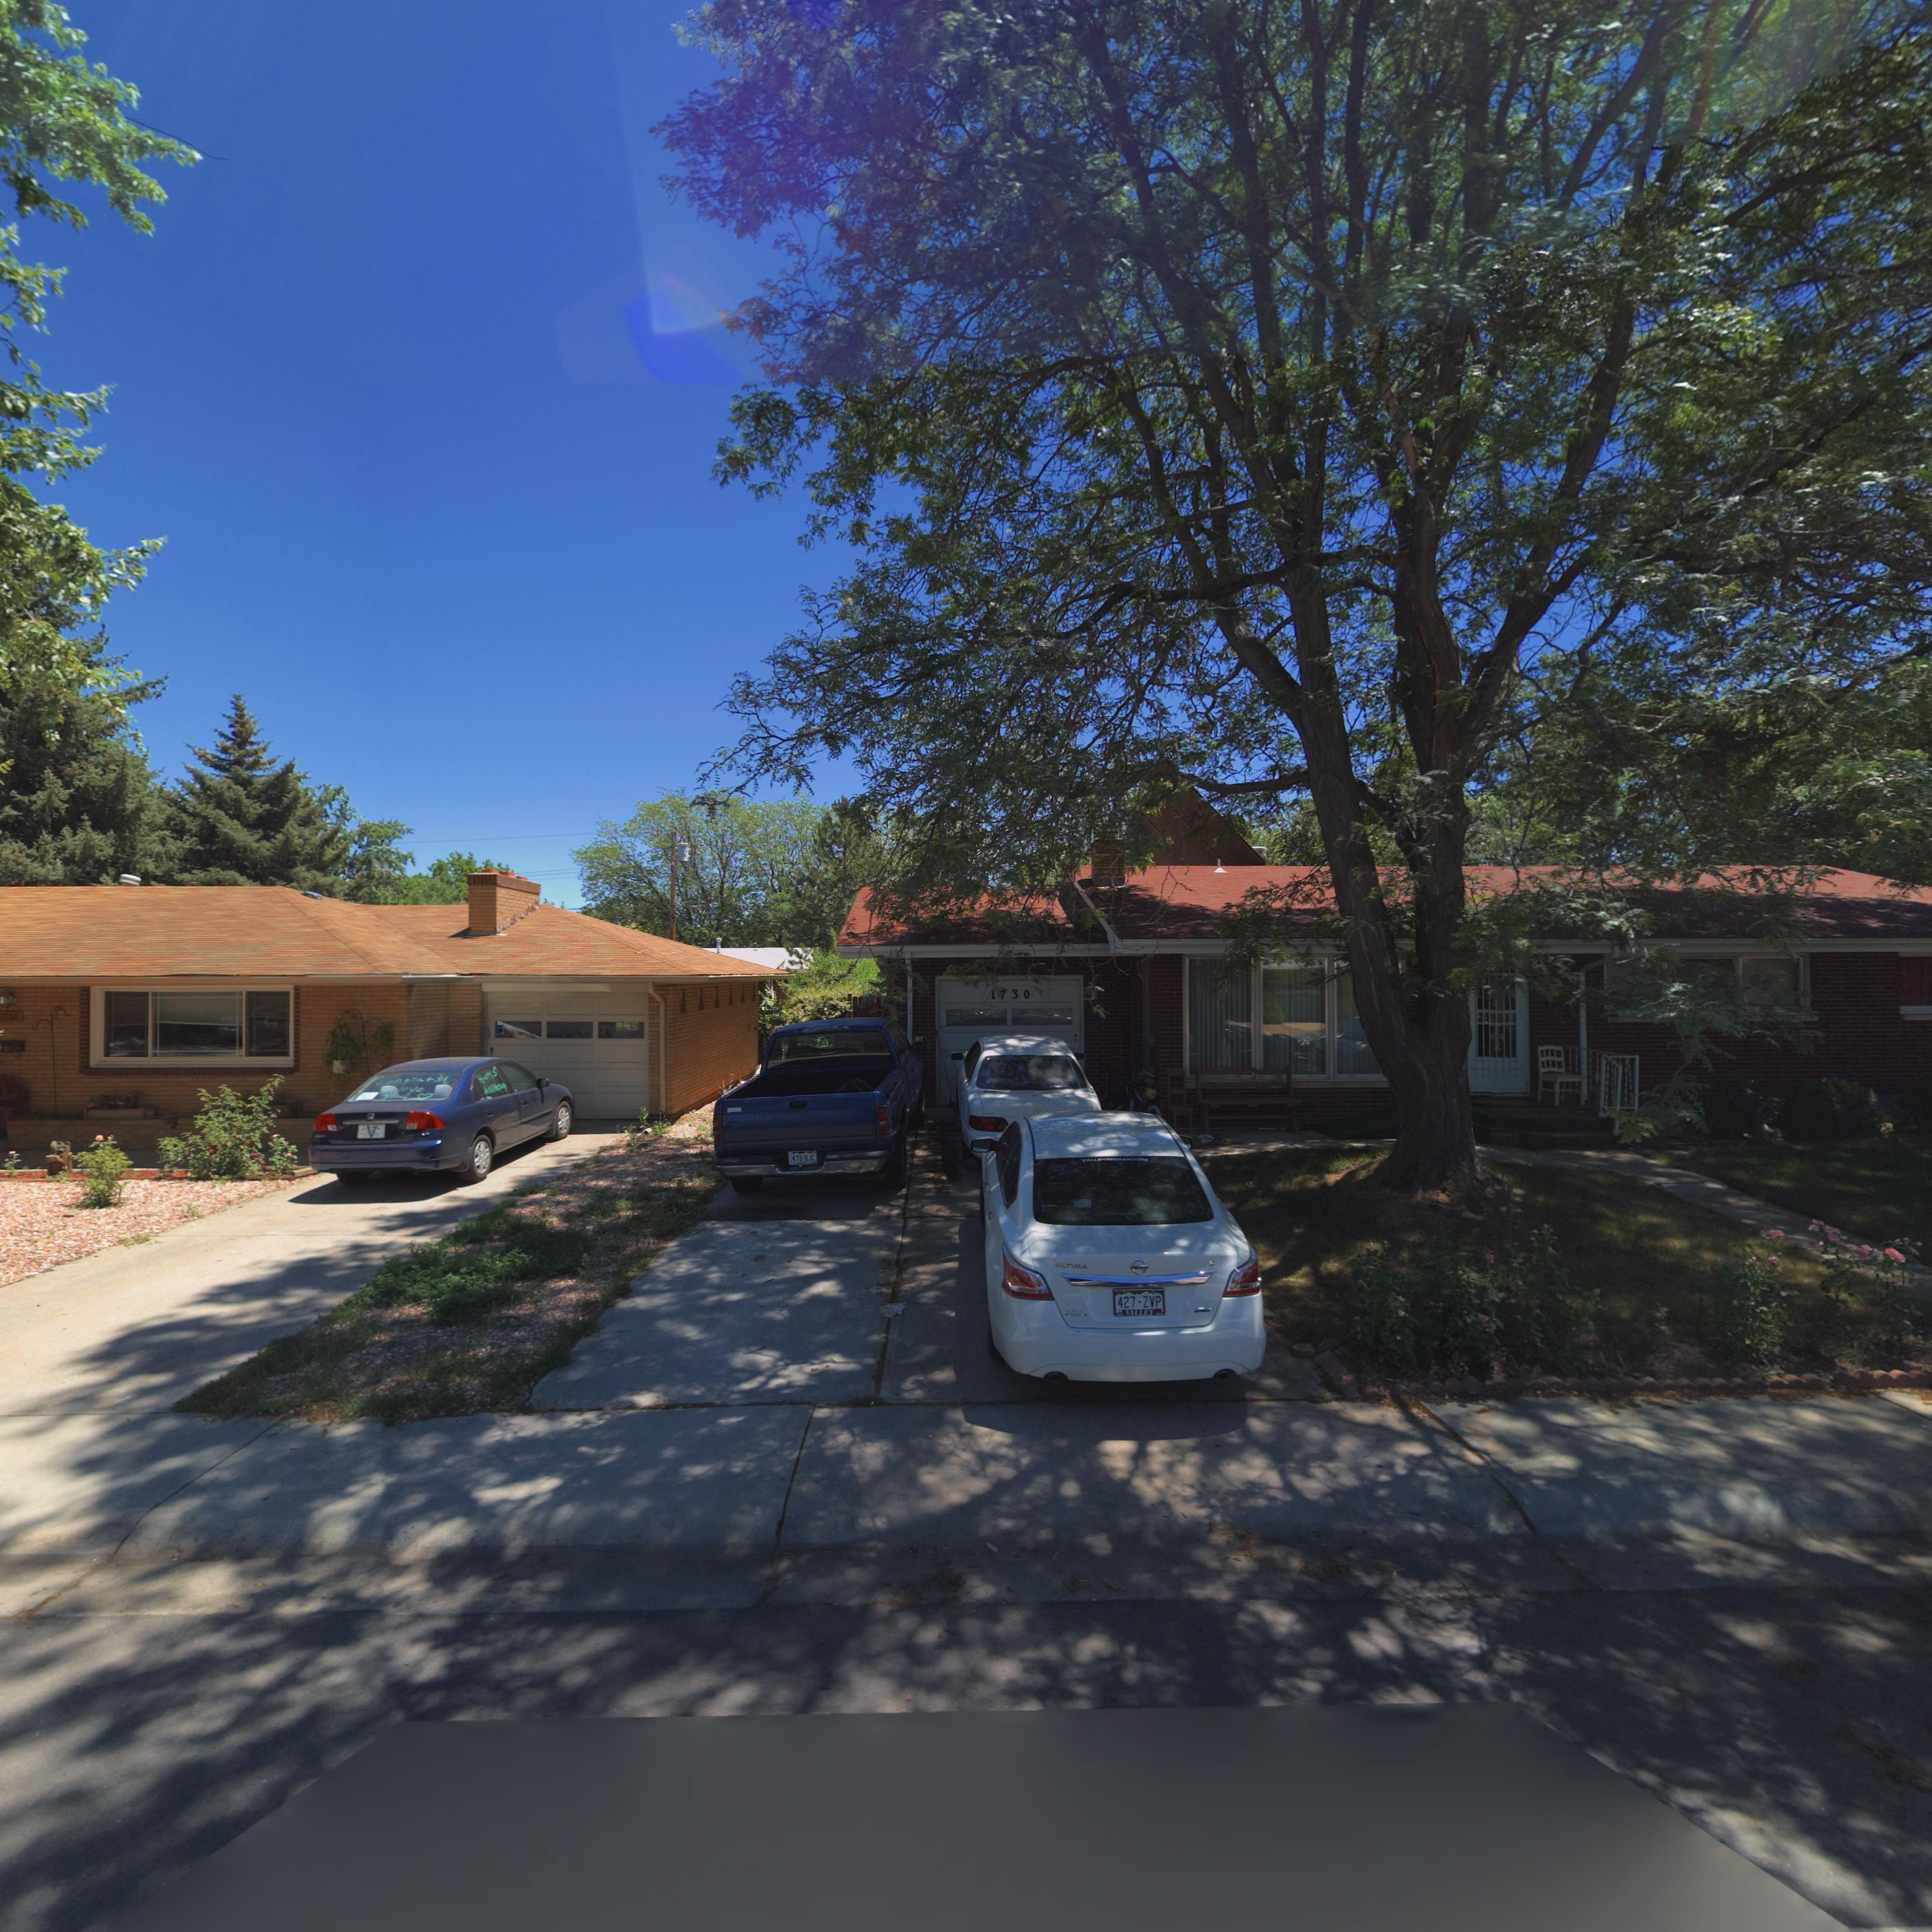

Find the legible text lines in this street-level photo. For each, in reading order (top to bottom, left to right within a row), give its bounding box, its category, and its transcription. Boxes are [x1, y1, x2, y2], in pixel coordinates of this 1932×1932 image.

[991, 989, 1030, 999] StreetNumber: 1730
[0, 1012, 19, 1020] StreetNumber: **56